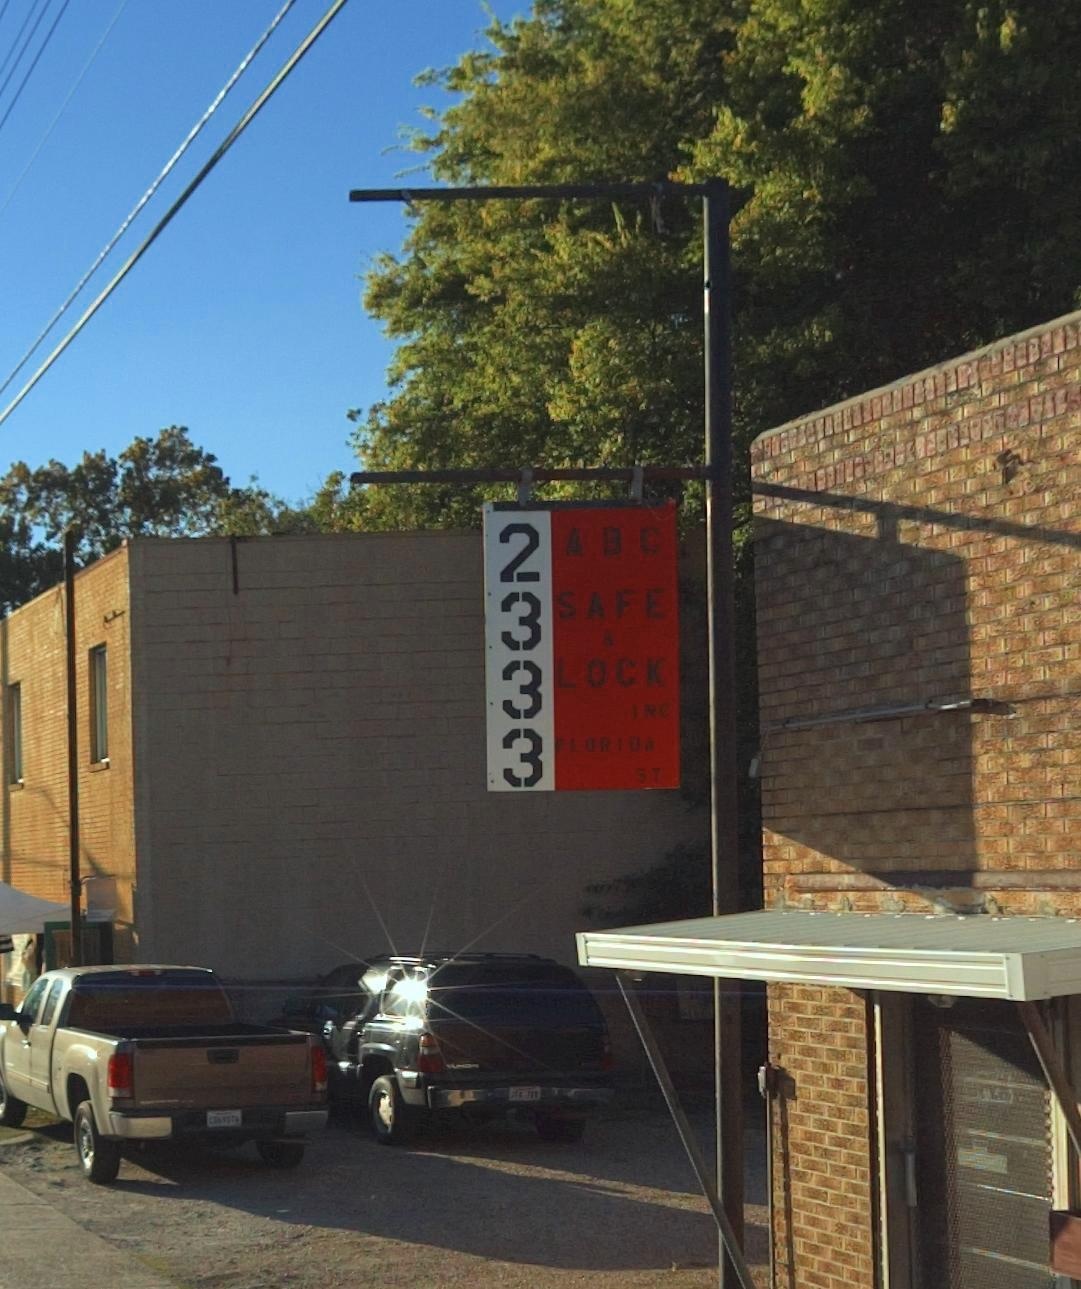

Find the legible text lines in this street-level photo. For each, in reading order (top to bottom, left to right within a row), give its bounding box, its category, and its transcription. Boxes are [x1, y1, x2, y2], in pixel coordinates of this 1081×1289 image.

[562, 522, 668, 560] BusinessName: ABC
[552, 585, 668, 622] BusinessName: SAFE
[497, 519, 545, 791] StreetNumber: 2333
[552, 654, 668, 691] BusinessName: LOCK
[630, 700, 672, 721] BusinessName: INC
[552, 734, 658, 755] StreetName: FLORIDA
[632, 763, 663, 786] StreetName: ST